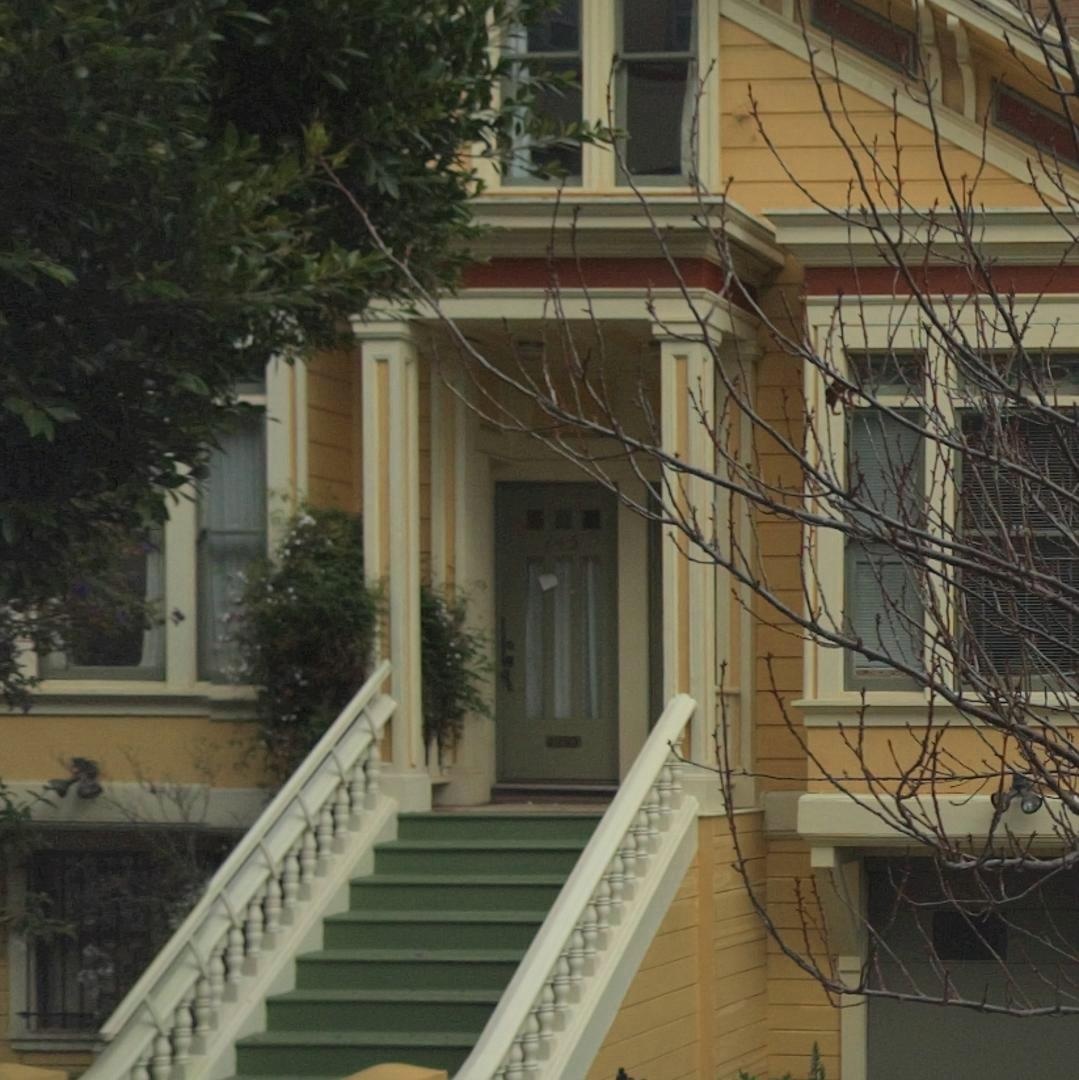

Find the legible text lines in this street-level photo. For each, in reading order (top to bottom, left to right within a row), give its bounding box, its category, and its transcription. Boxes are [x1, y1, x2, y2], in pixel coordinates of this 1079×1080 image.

[543, 532, 581, 552] StreetNumber: 145